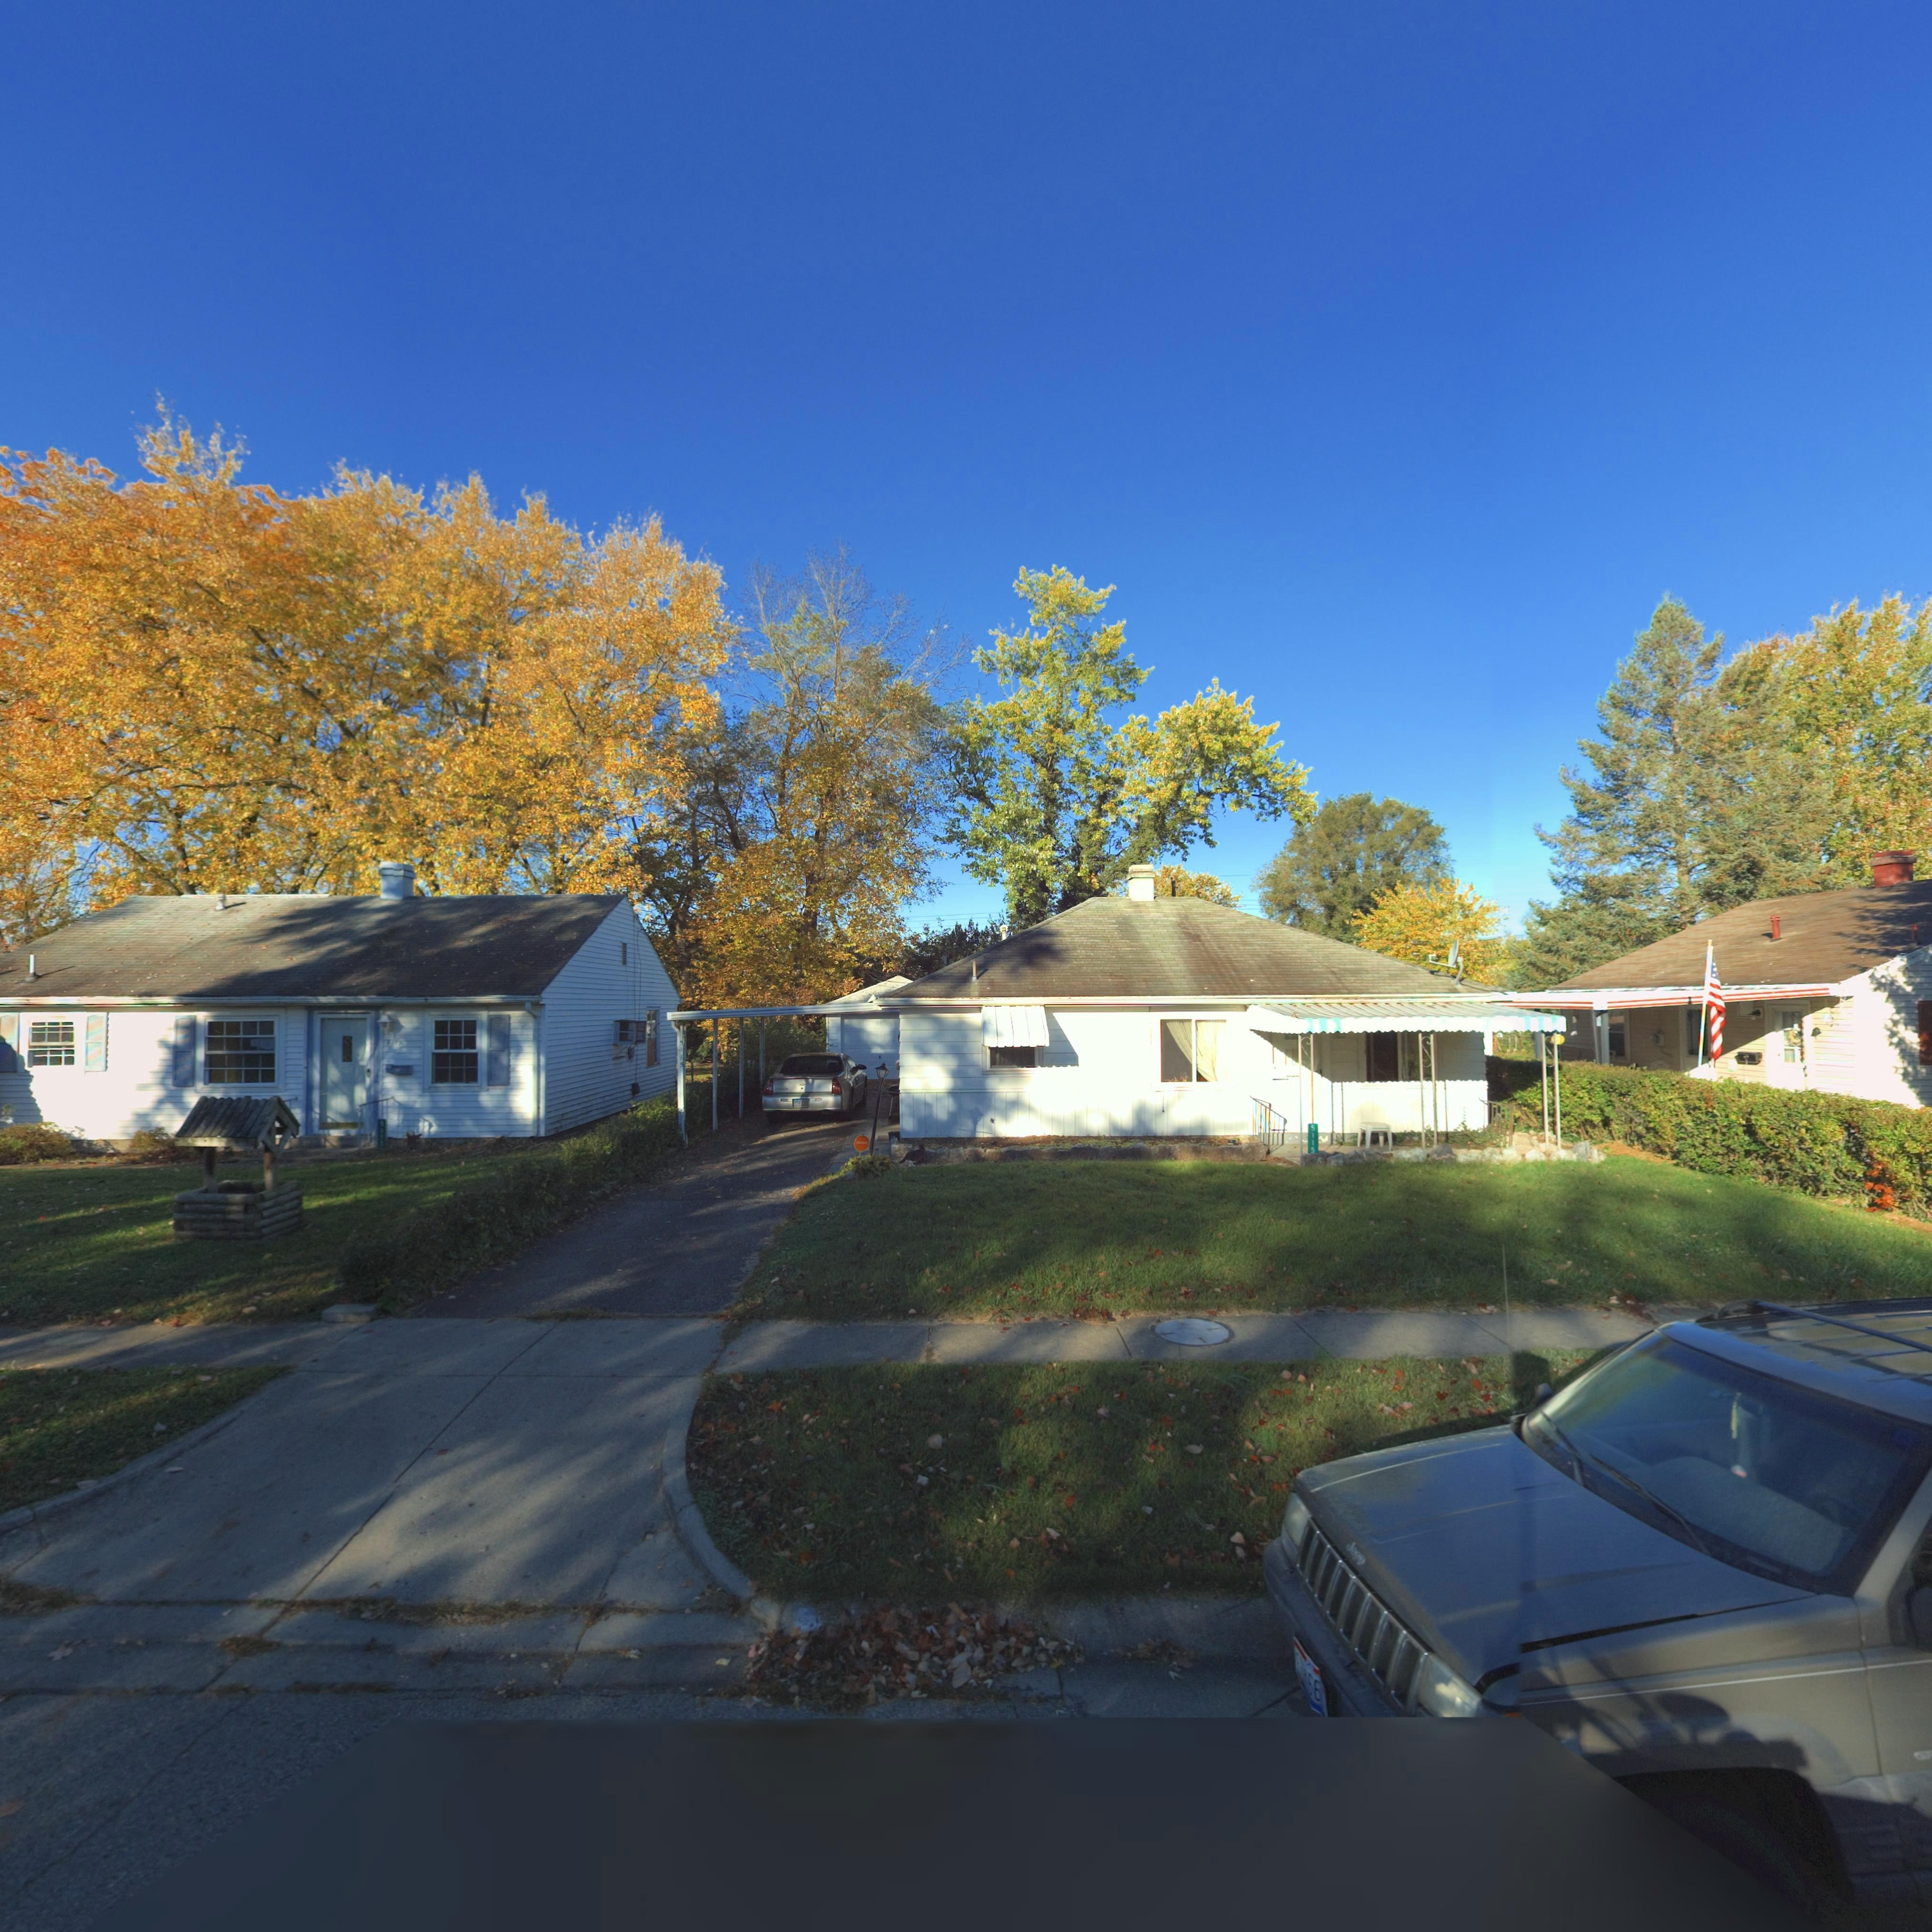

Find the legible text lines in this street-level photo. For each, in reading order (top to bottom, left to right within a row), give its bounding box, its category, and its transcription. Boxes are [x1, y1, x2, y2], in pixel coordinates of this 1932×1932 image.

[379, 1120, 384, 1147] StreetNumber: 5**7
[1310, 1124, 1316, 1154] StreetNumber: 5115